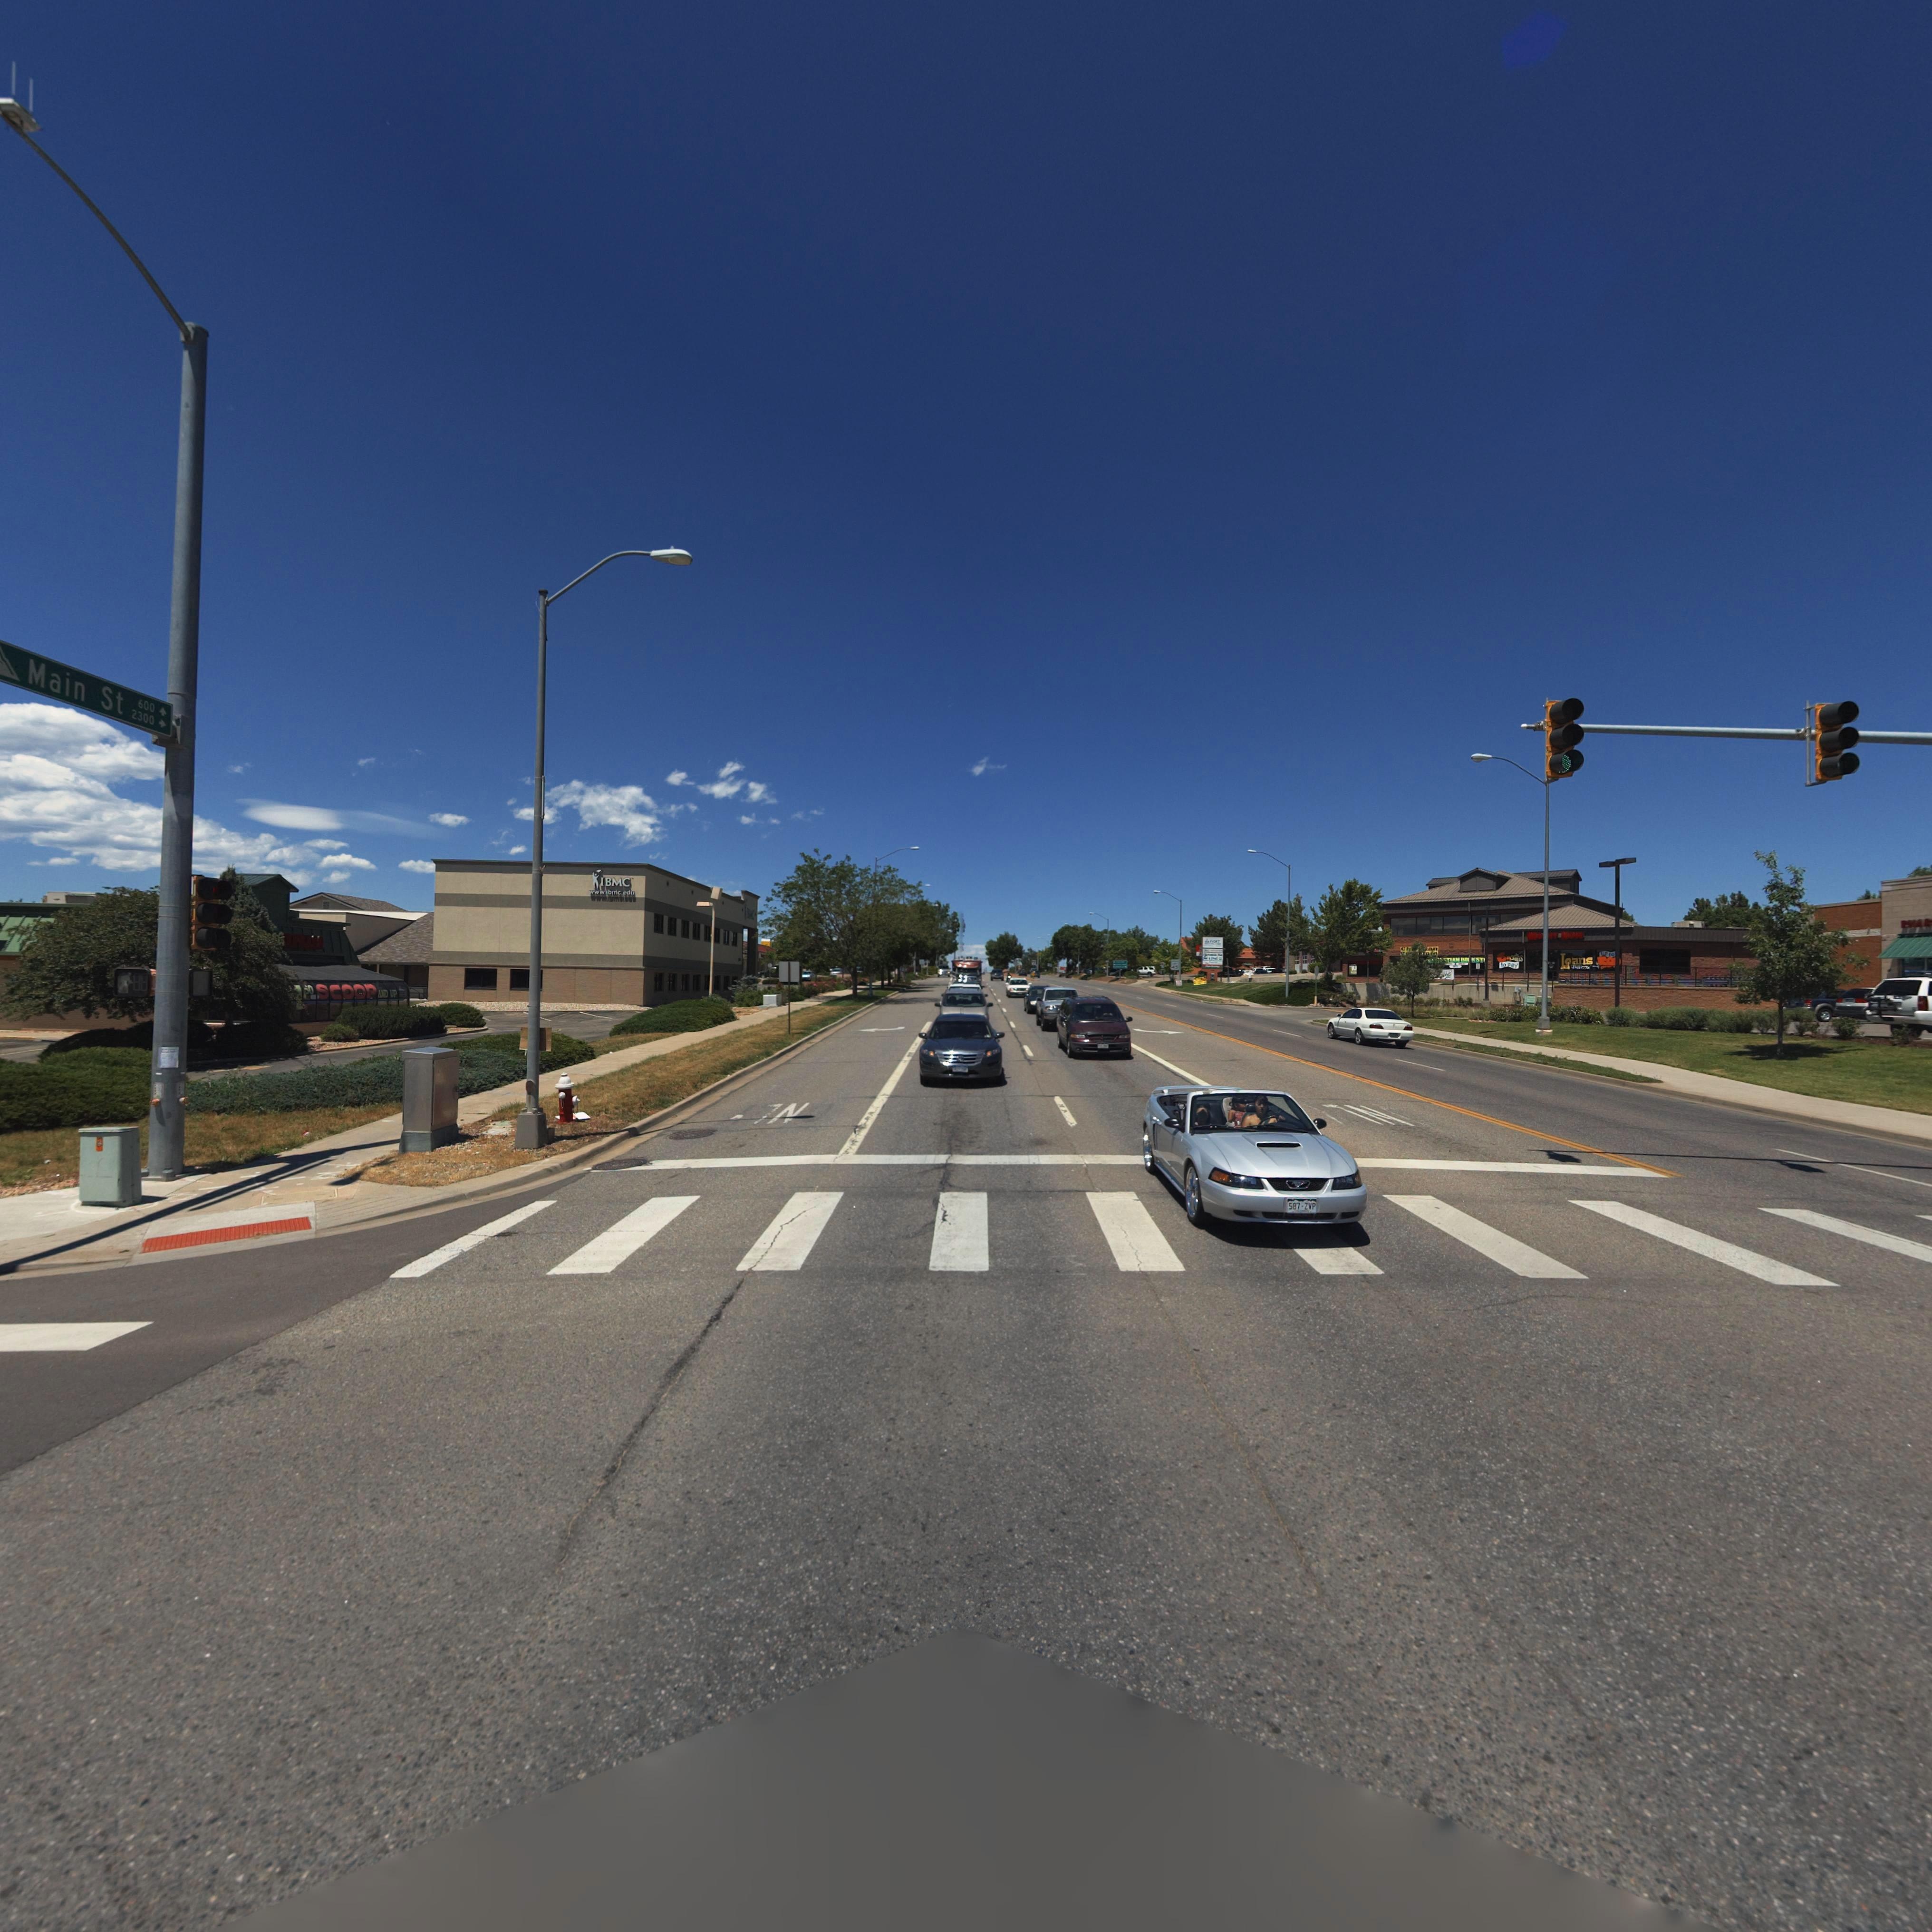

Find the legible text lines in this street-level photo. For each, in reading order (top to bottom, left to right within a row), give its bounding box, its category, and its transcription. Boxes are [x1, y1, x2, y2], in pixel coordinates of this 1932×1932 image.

[28, 658, 123, 715] StreetName: Main St
[138, 699, 155, 712] StreetNumberRange: 600
[132, 708, 166, 727] StreetNumberRange: 2300->
[600, 877, 630, 887] BusinessName: IBMC